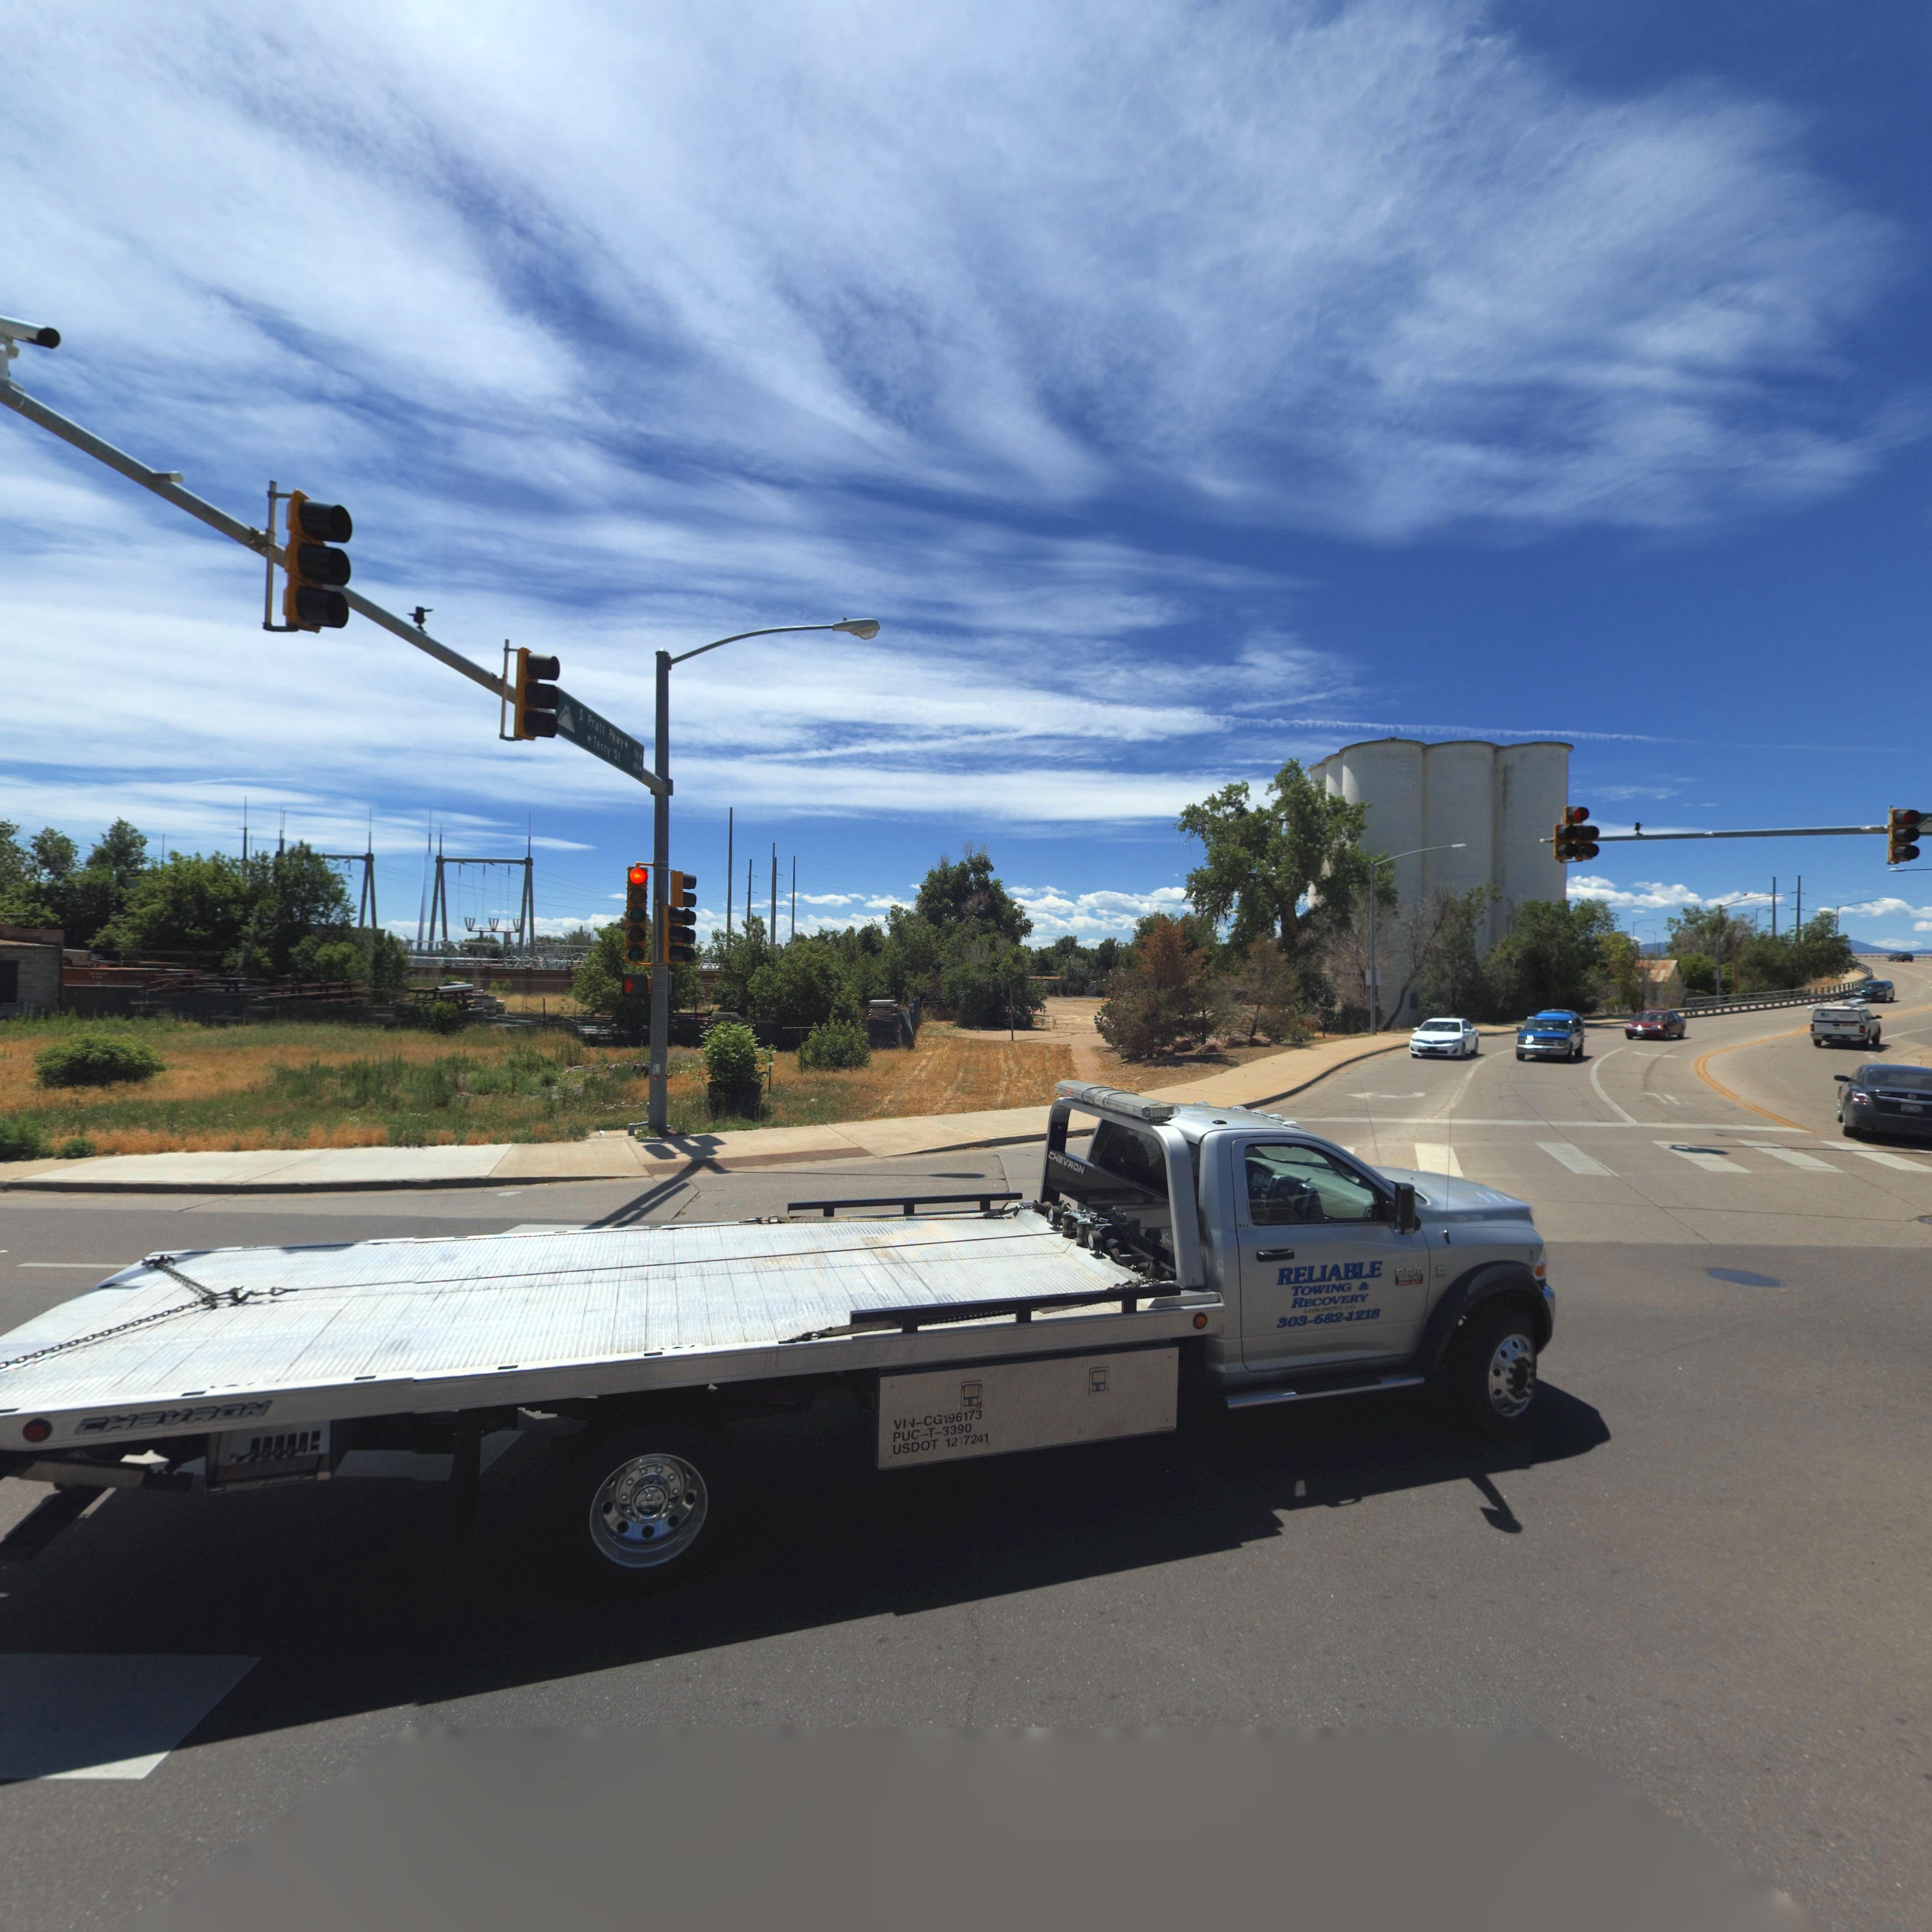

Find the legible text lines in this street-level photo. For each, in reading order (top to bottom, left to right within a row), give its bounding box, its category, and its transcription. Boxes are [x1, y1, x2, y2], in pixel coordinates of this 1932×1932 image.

[578, 708, 625, 751] StreetName: S Pratt Pkwy
[592, 735, 621, 763] StreetName: Terry St
[632, 761, 639, 771] StreetNumberRange: *00